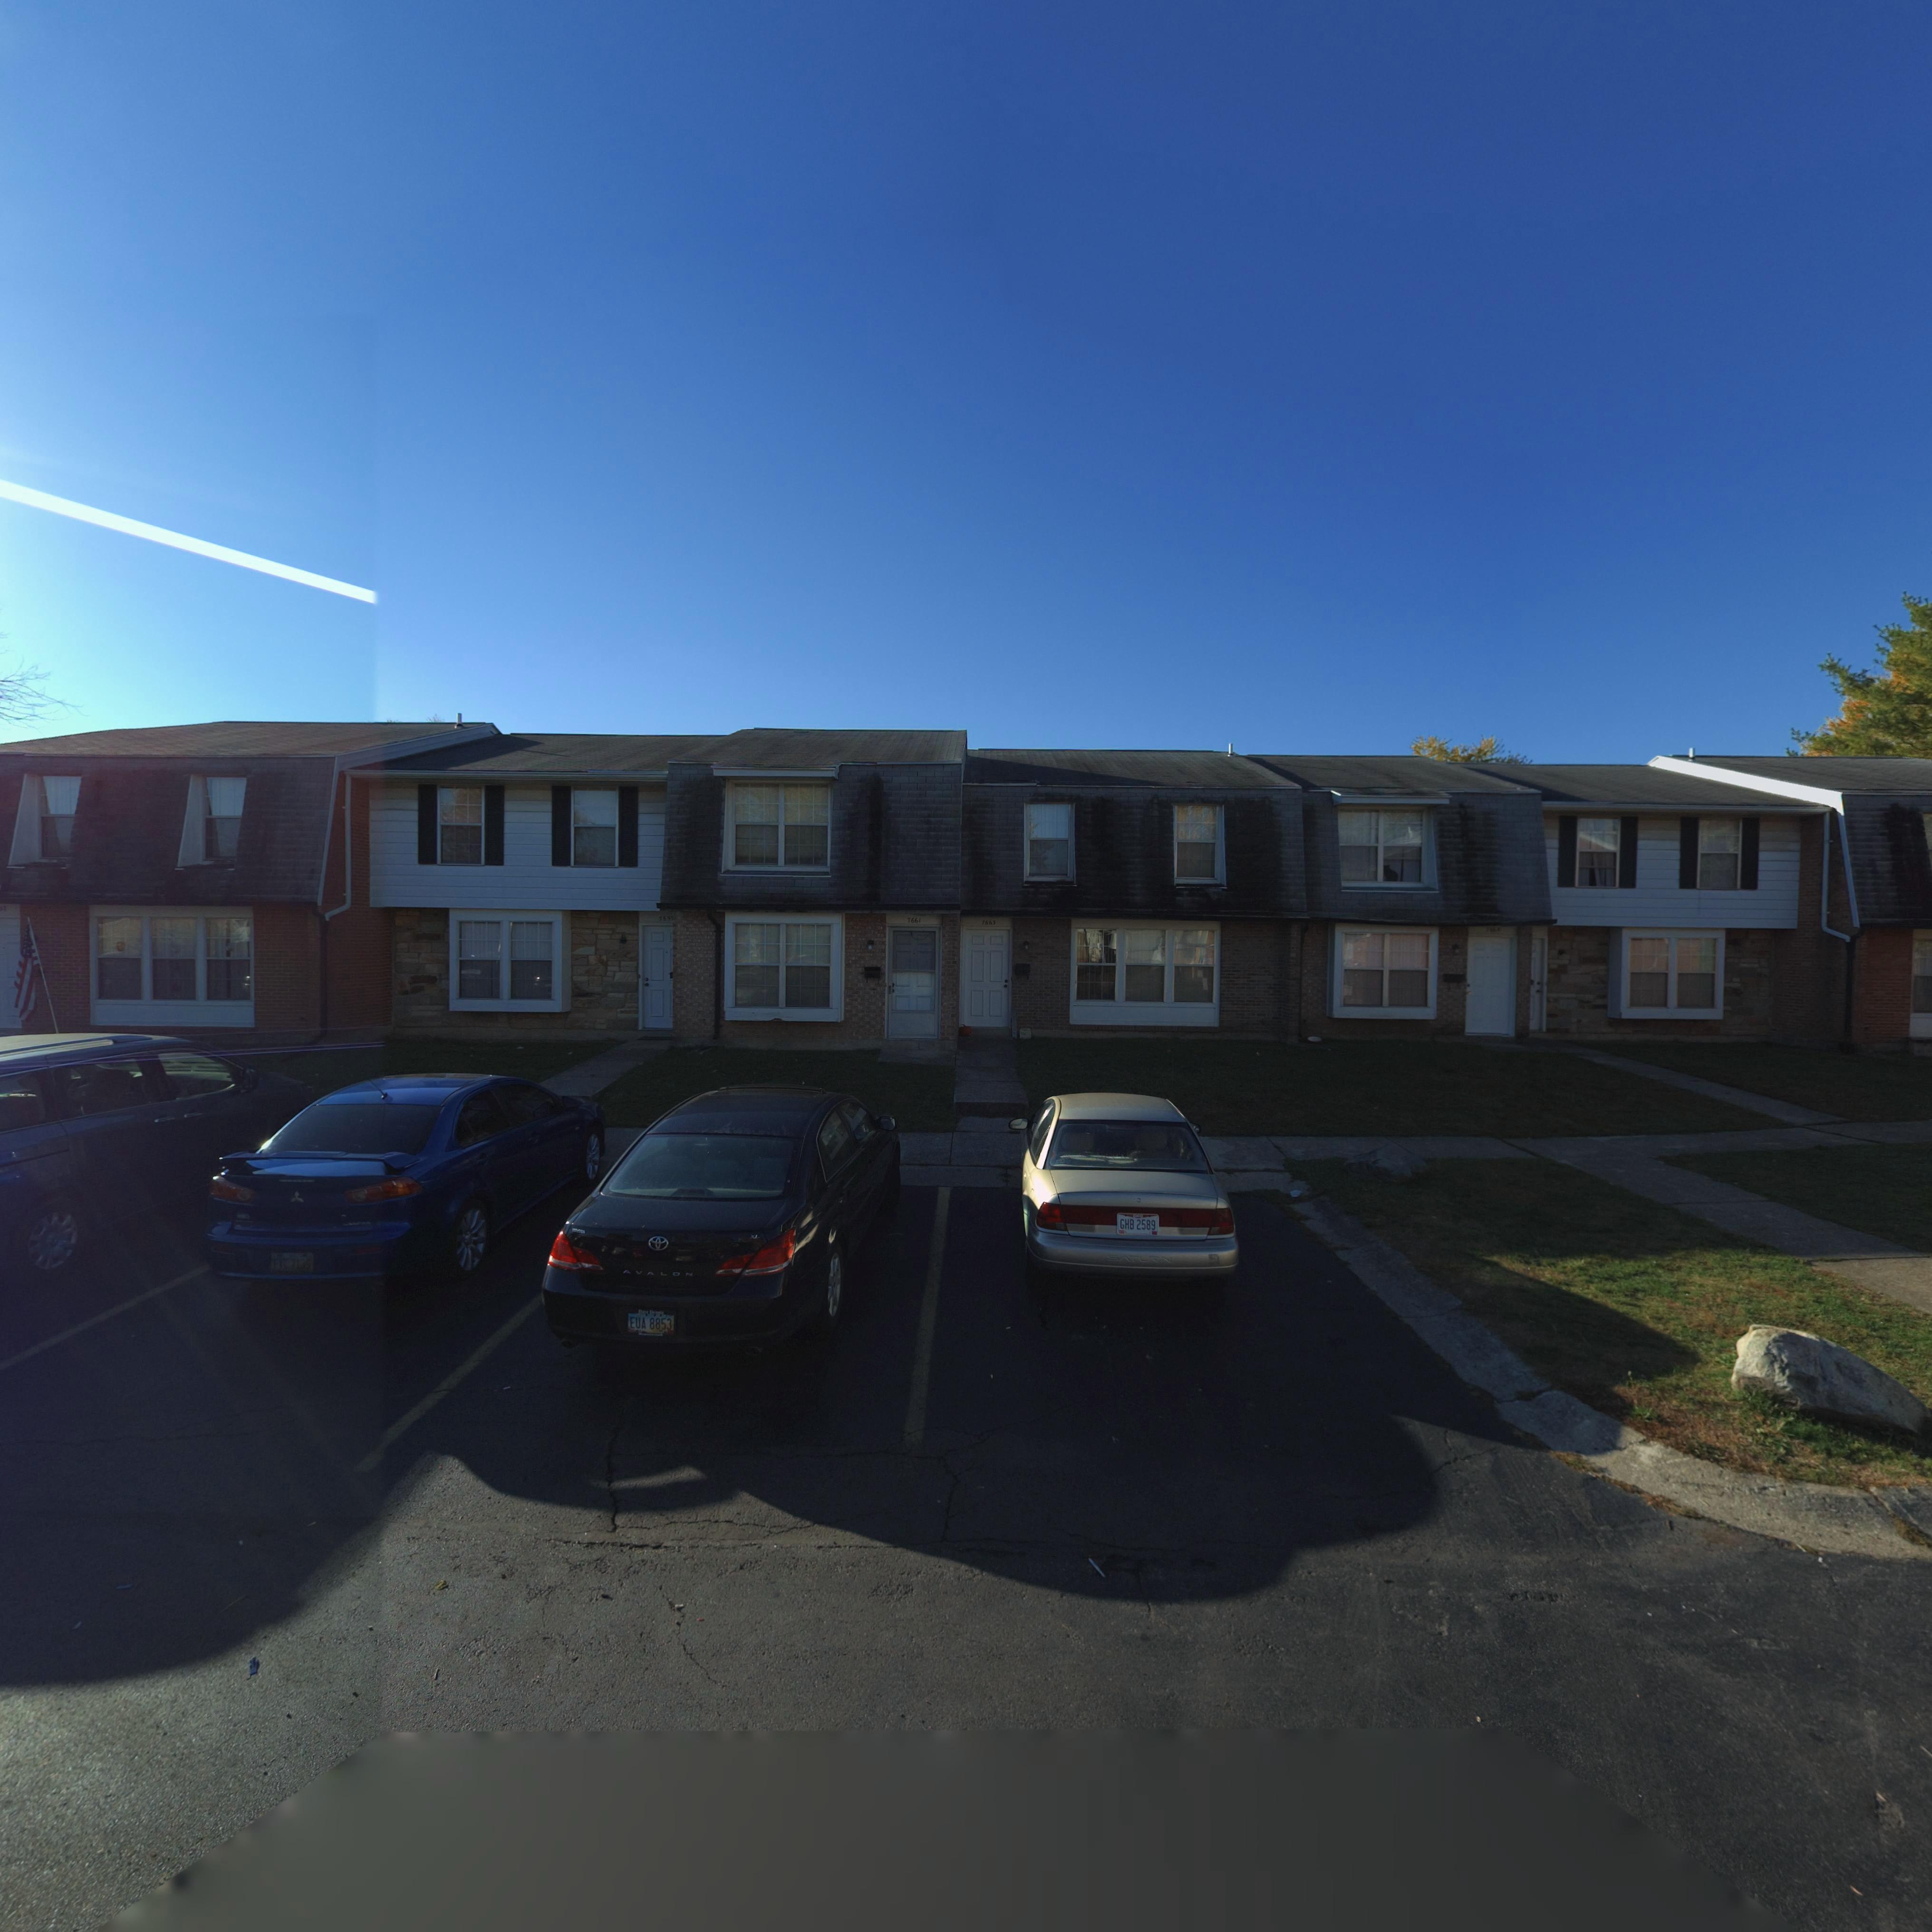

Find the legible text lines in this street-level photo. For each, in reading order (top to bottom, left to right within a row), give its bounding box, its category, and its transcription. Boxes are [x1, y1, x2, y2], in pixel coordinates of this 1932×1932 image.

[658, 915, 671, 921] StreetNumber: 765
[907, 917, 921, 923] StreetNumber: 7661
[981, 919, 996, 926] StreetNumber: 7663
[1485, 926, 1503, 933] StreetNumber: 7*65